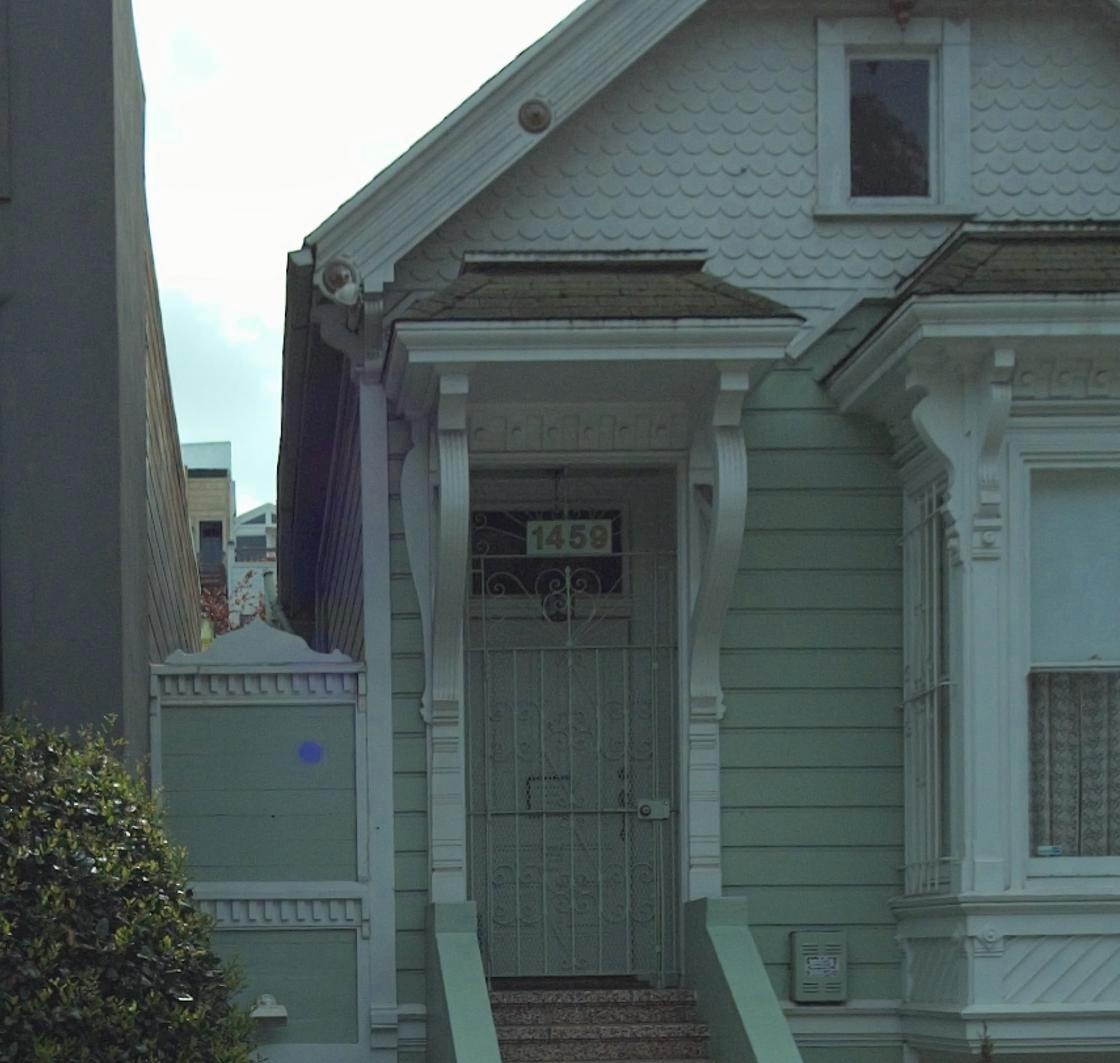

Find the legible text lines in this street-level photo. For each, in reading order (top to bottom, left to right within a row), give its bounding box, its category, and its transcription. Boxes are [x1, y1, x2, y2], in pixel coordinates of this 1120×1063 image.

[530, 521, 611, 553] StreetNumber: 1459